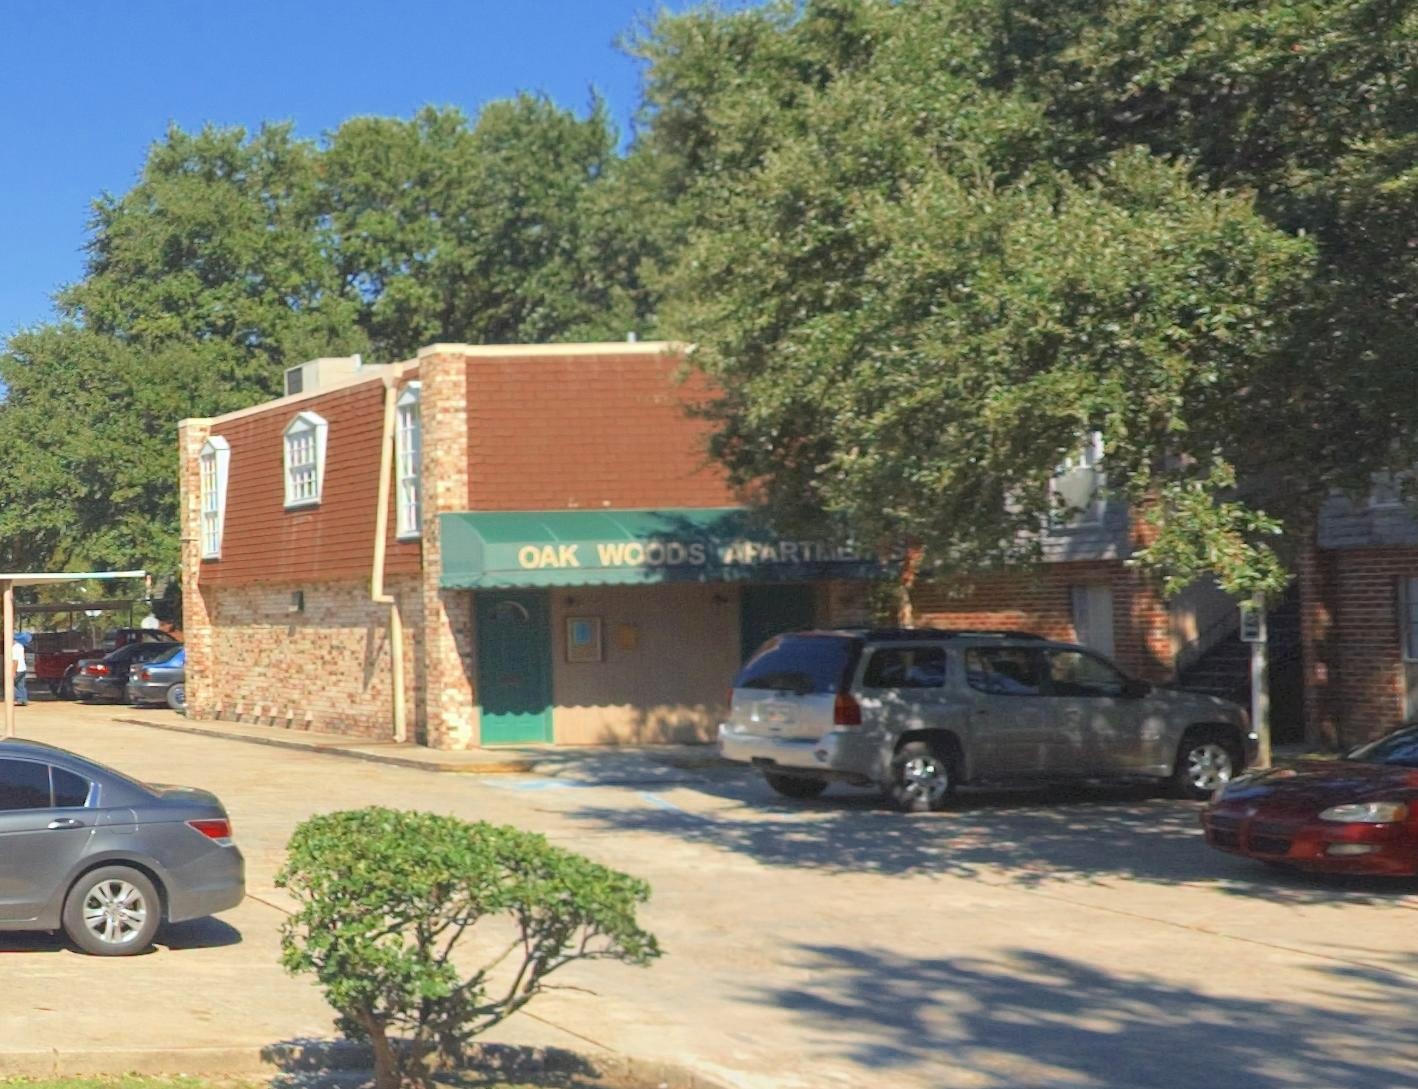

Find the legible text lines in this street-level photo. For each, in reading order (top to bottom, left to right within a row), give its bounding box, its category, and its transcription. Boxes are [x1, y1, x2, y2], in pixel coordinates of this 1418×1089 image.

[512, 537, 819, 572] BusinessName: OAK WOOD APART